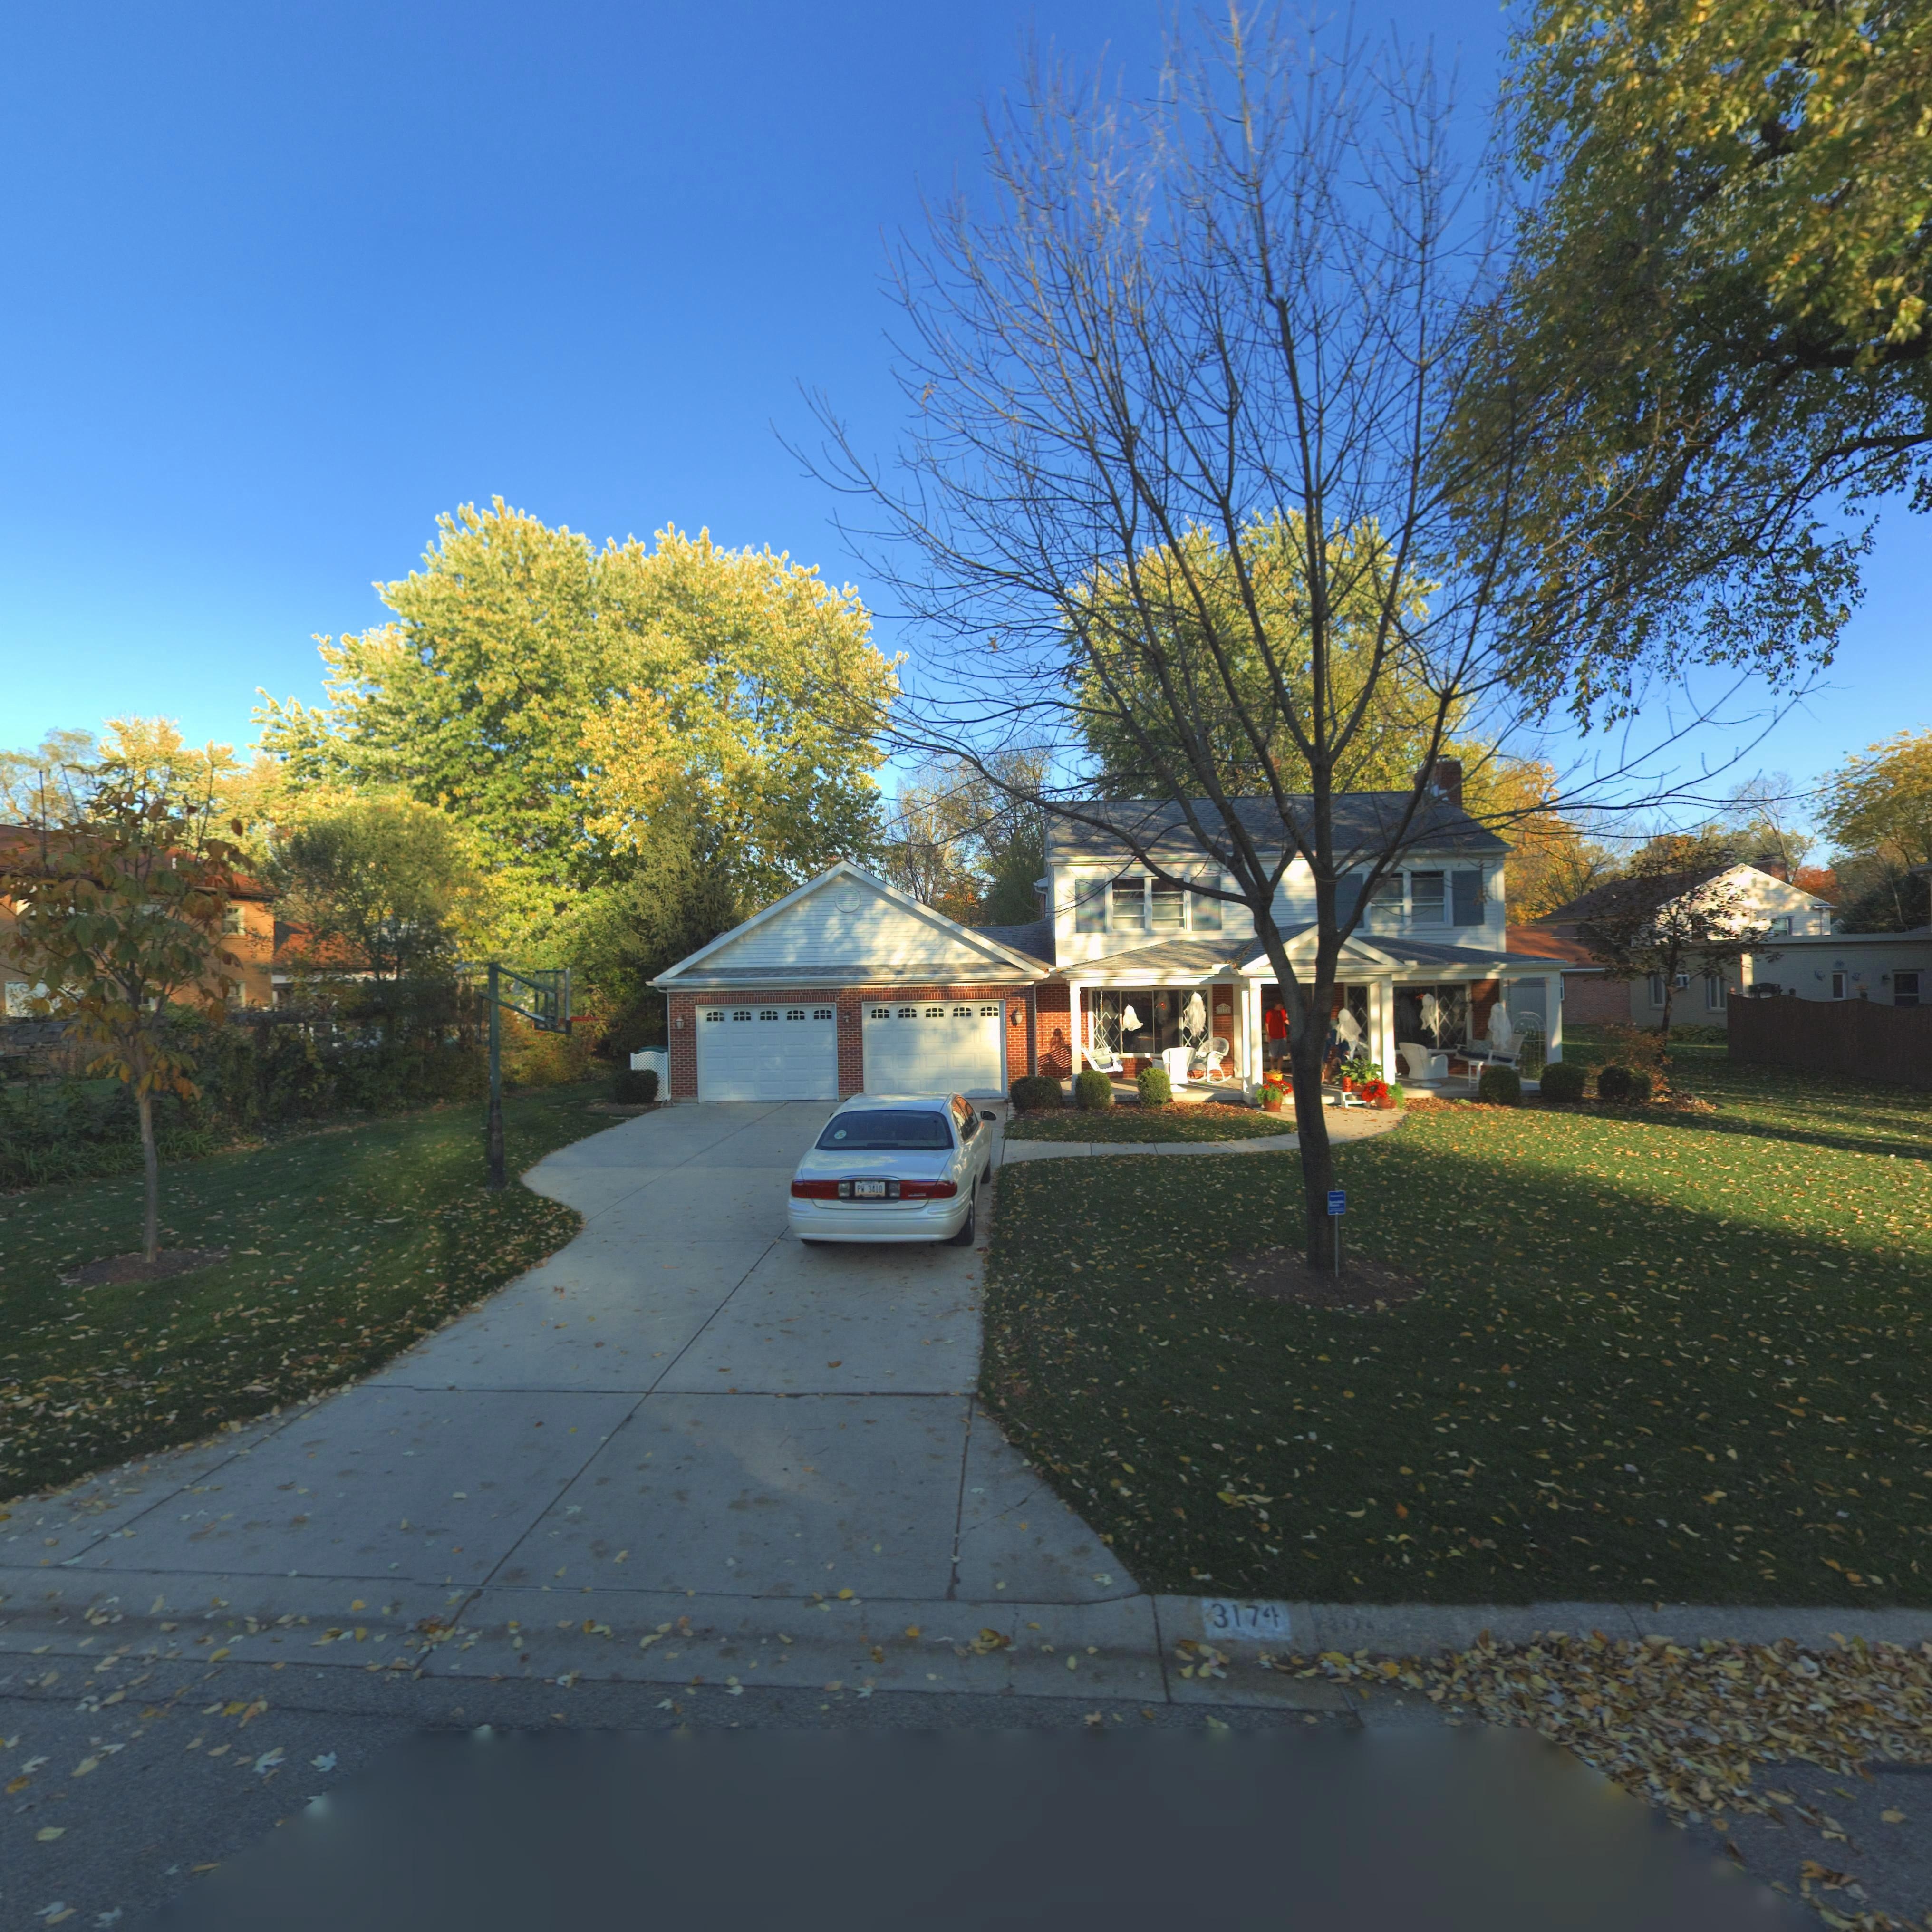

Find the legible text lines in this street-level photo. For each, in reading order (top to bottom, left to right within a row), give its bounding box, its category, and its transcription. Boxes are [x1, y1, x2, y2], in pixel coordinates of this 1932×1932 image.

[1209, 1602, 1281, 1630] StreetNumber: 3174
[1326, 1615, 1377, 1634] StreetNumber: *174